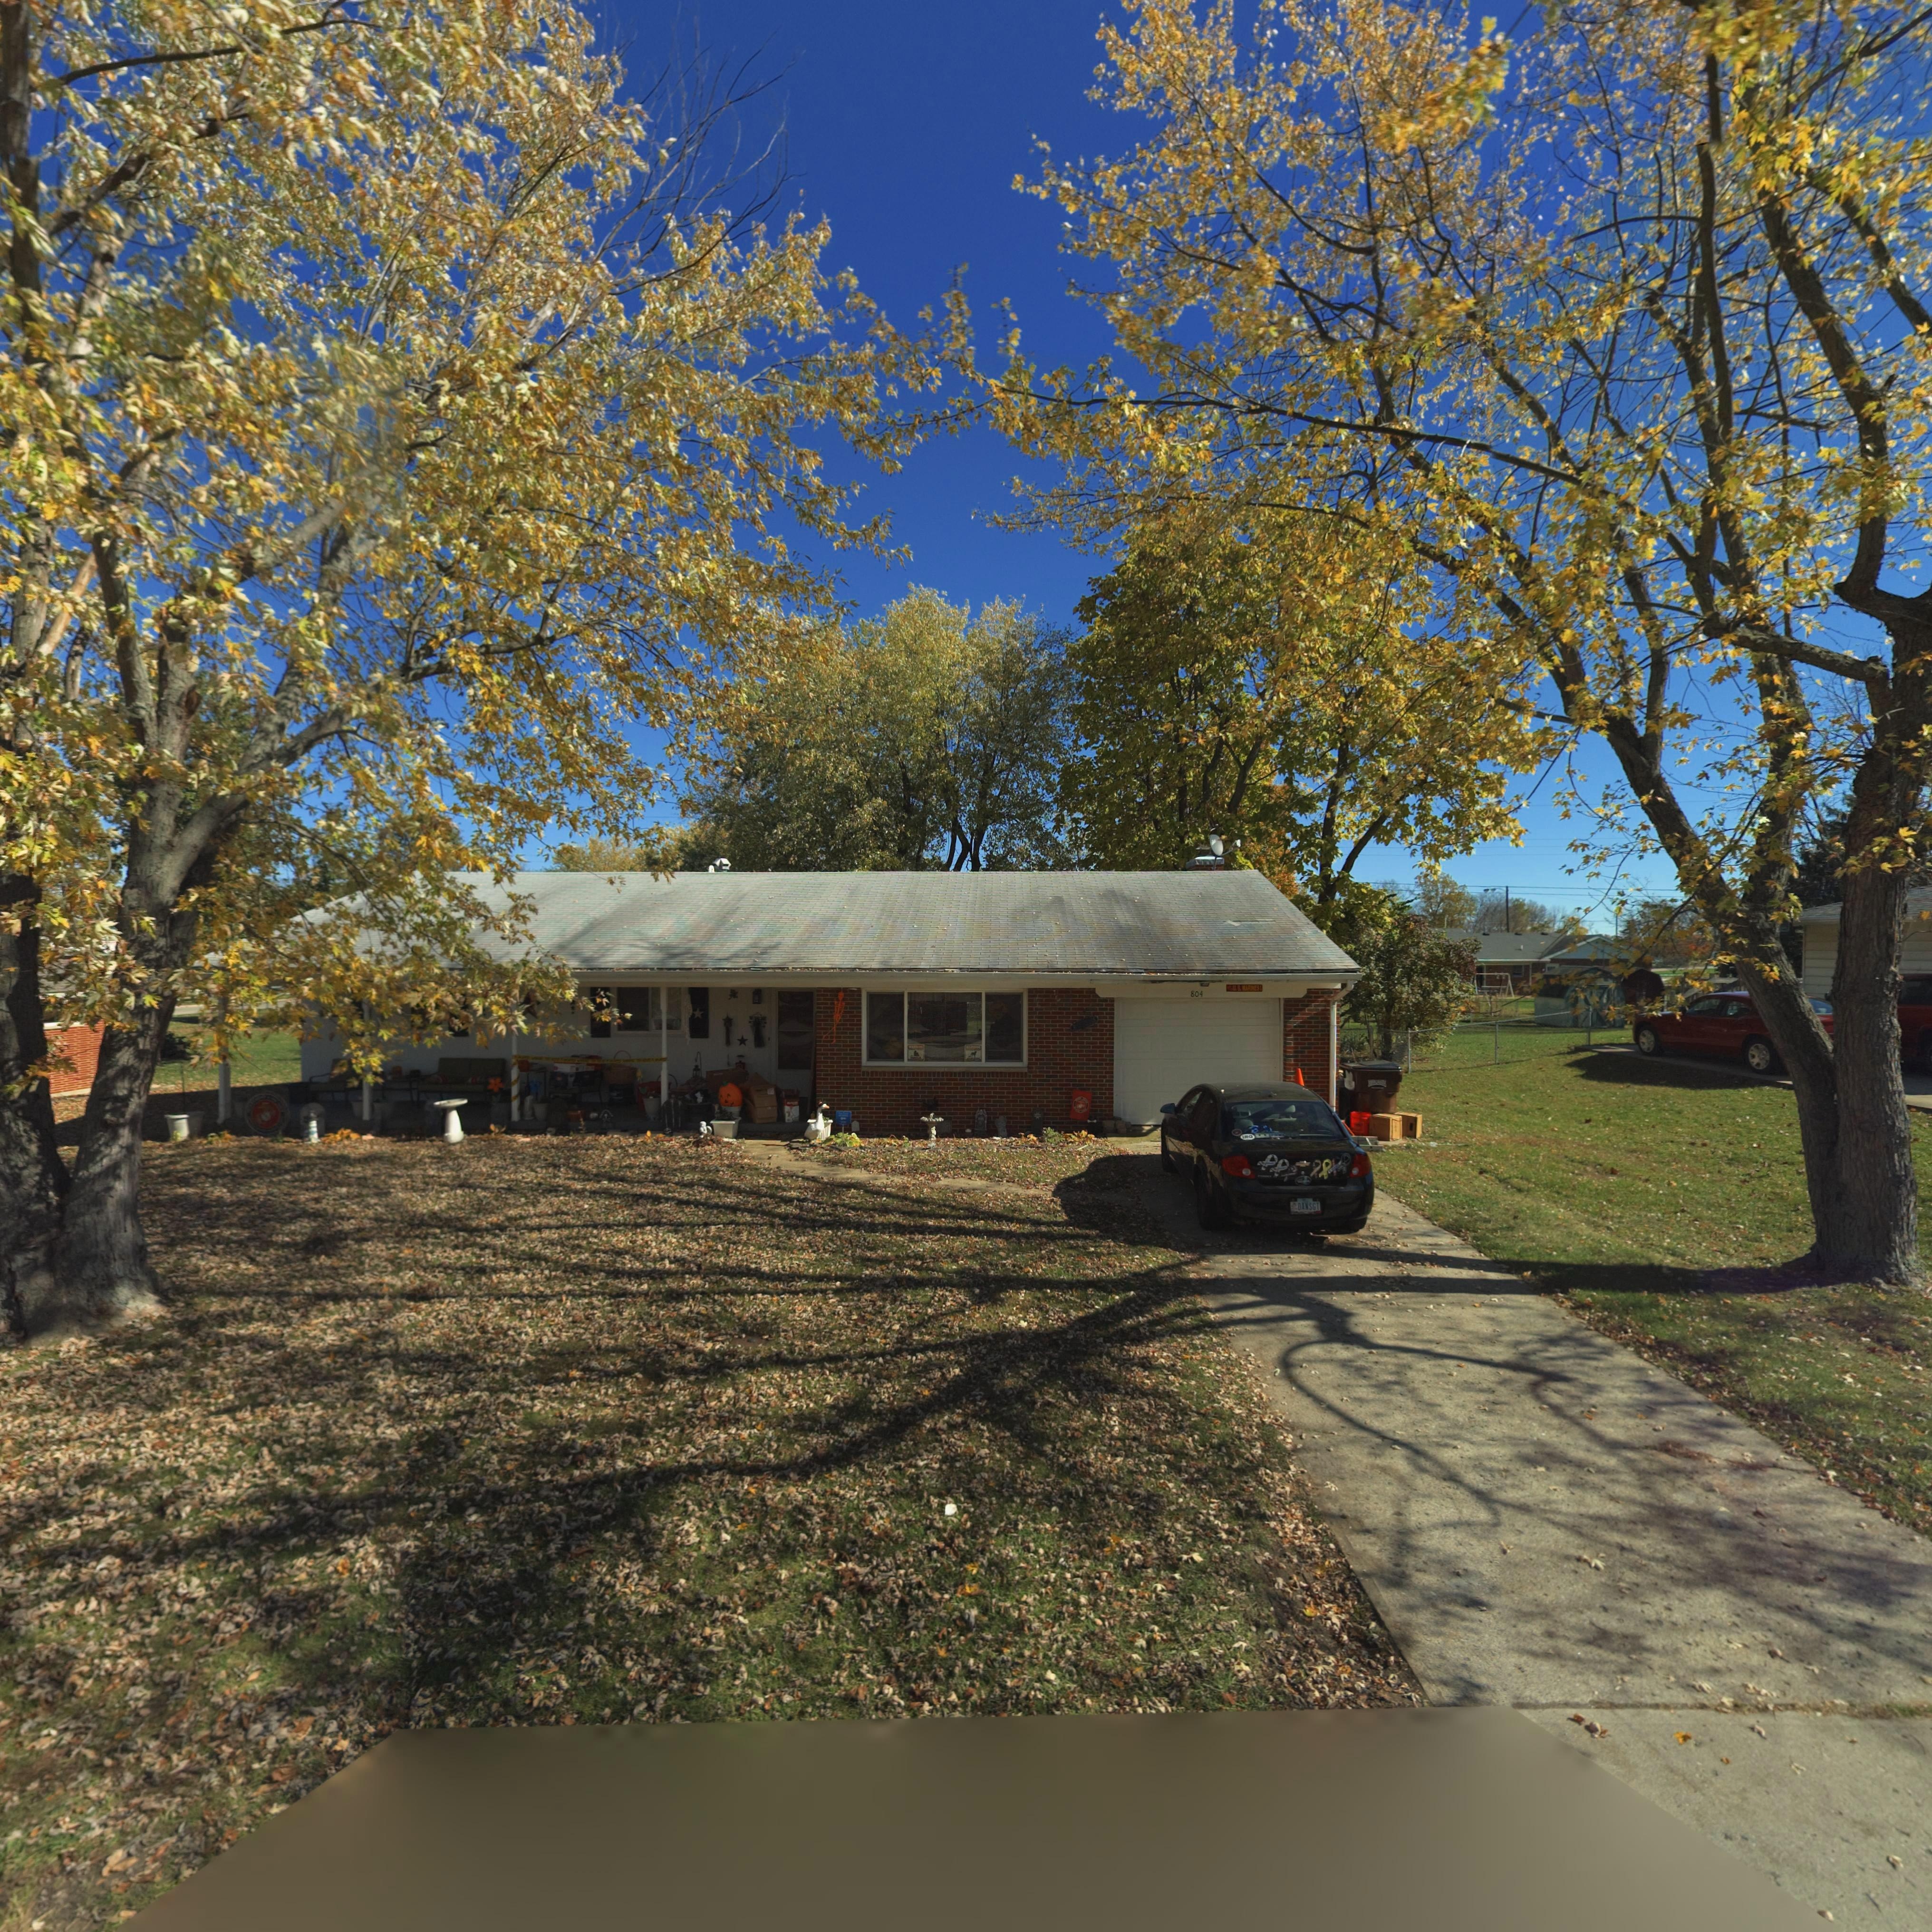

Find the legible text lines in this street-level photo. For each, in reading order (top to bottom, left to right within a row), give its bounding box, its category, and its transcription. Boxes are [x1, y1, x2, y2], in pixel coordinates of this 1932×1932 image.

[1189, 989, 1204, 998] StreetNumber: 804